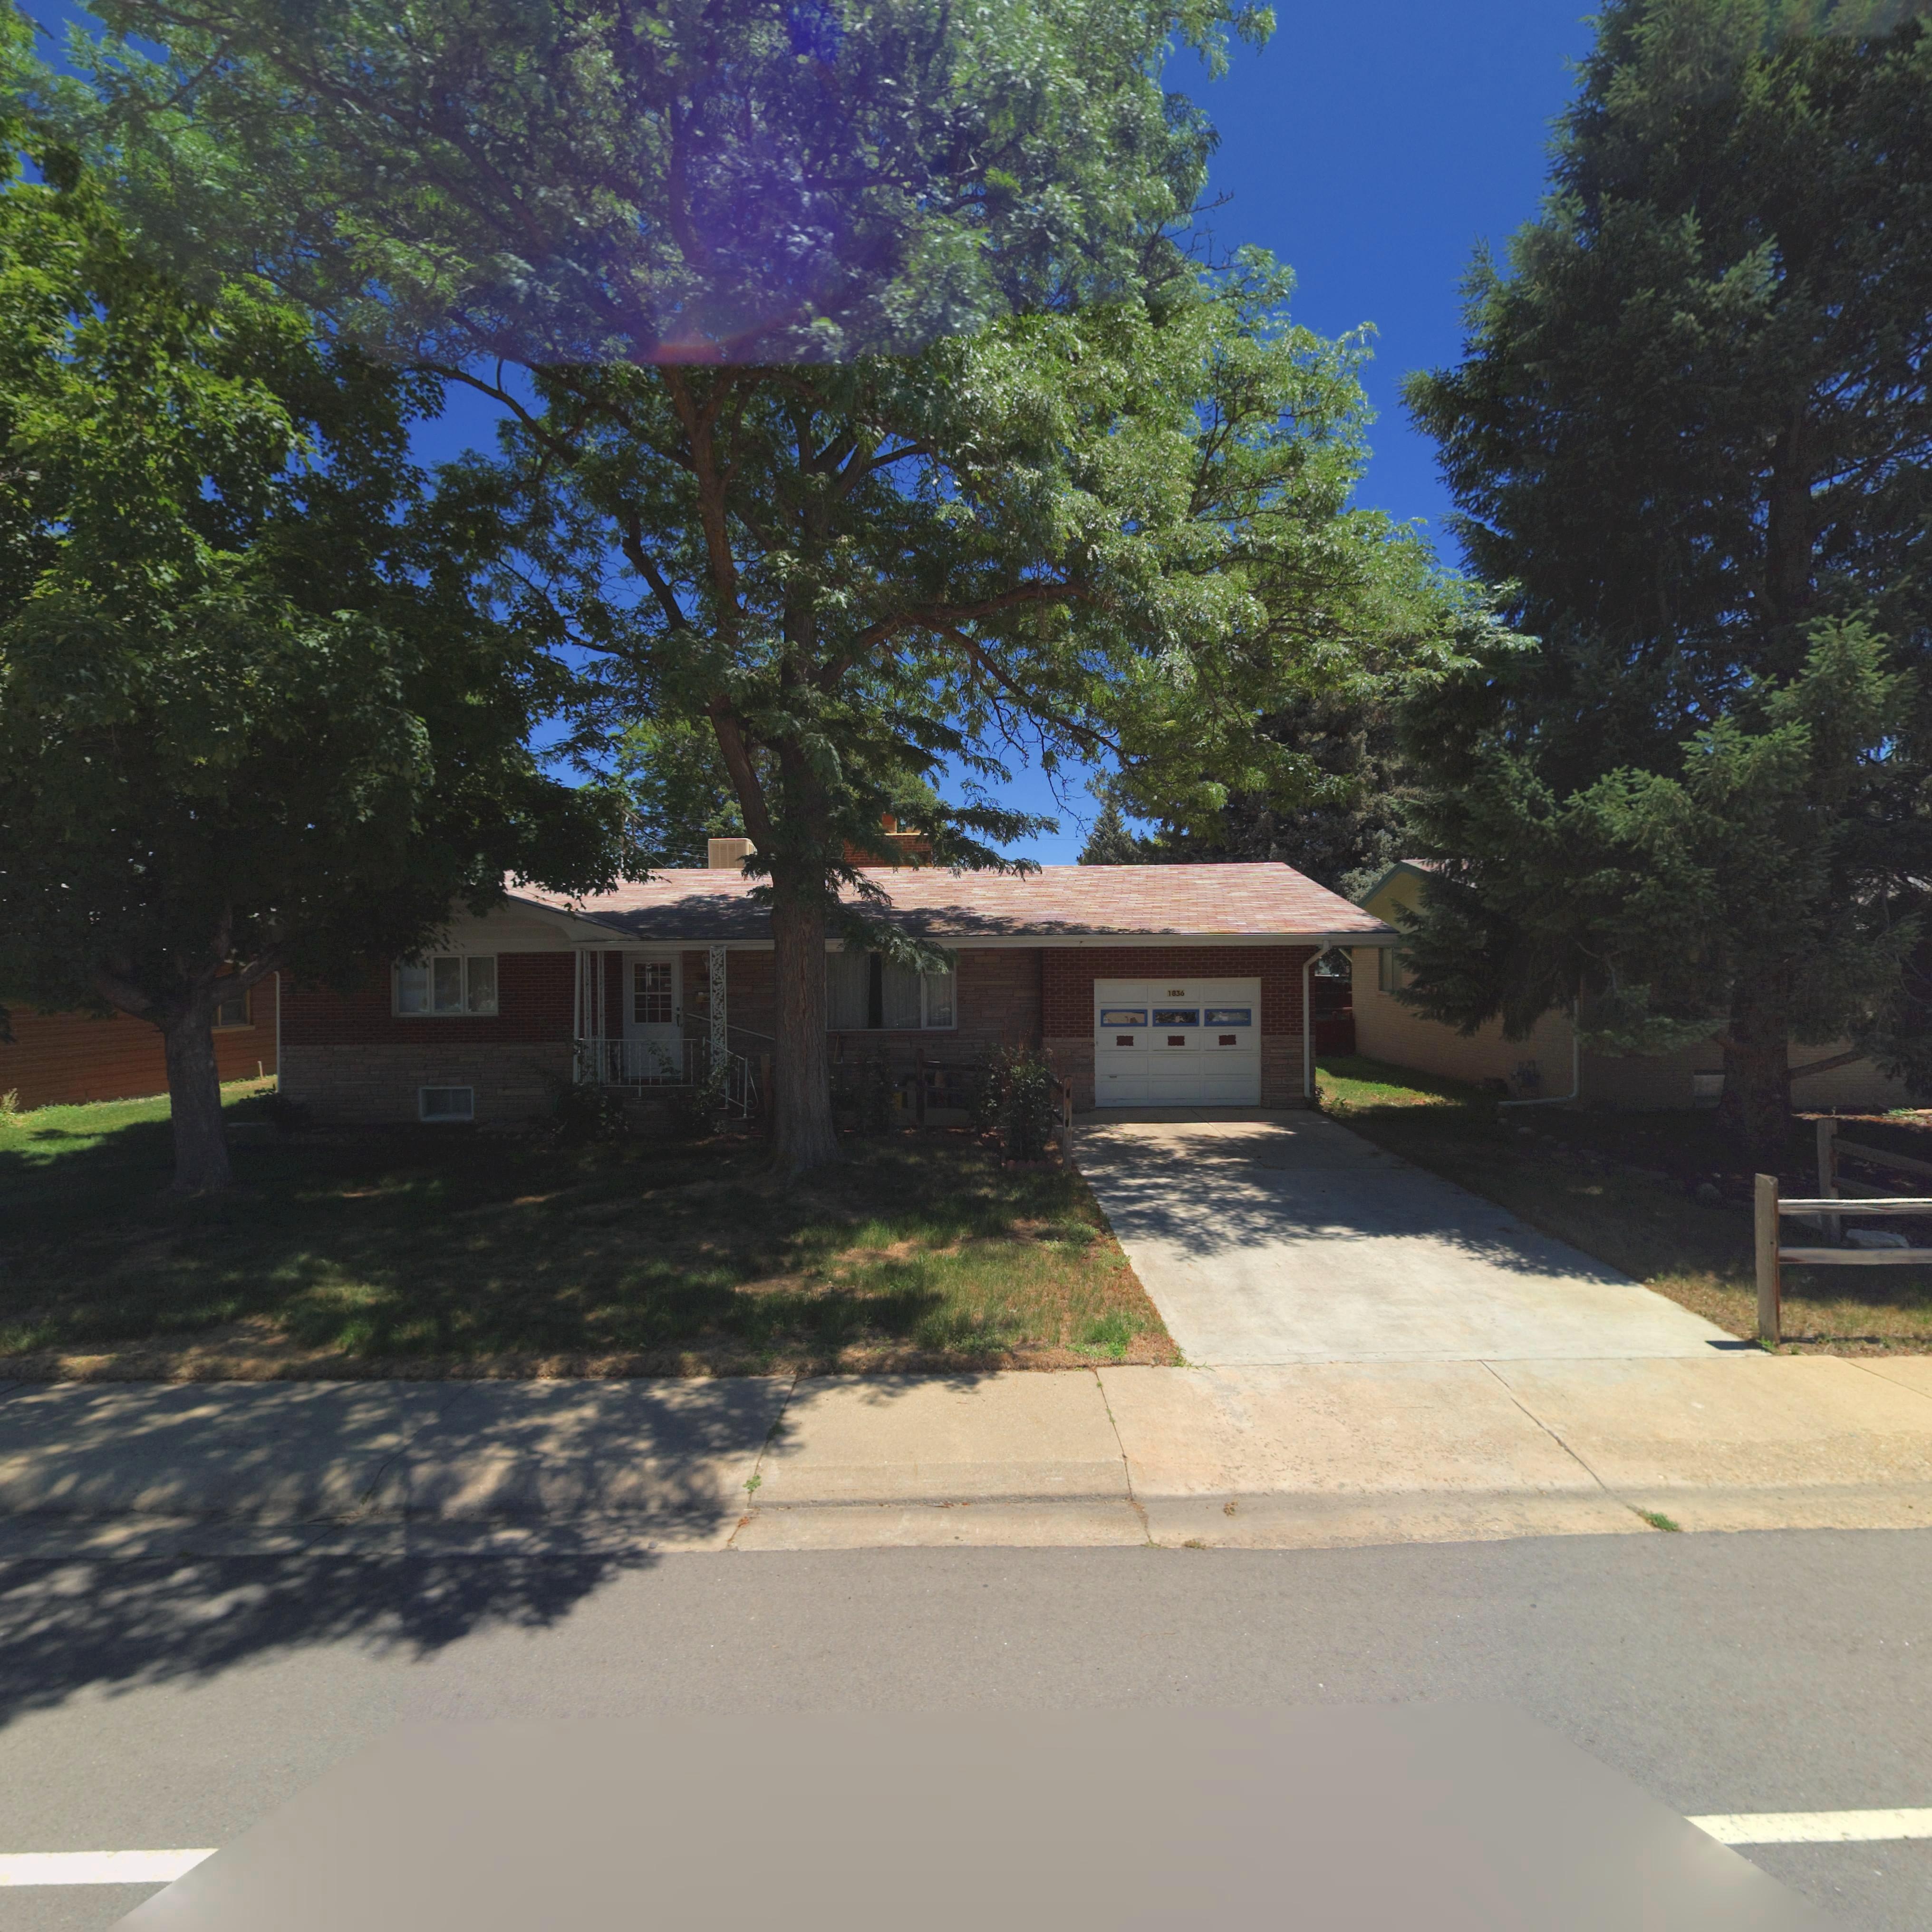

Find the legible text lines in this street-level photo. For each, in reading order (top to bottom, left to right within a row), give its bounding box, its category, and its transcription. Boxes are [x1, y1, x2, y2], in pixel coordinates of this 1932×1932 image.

[1168, 990, 1184, 996] StreetNumber: 1836